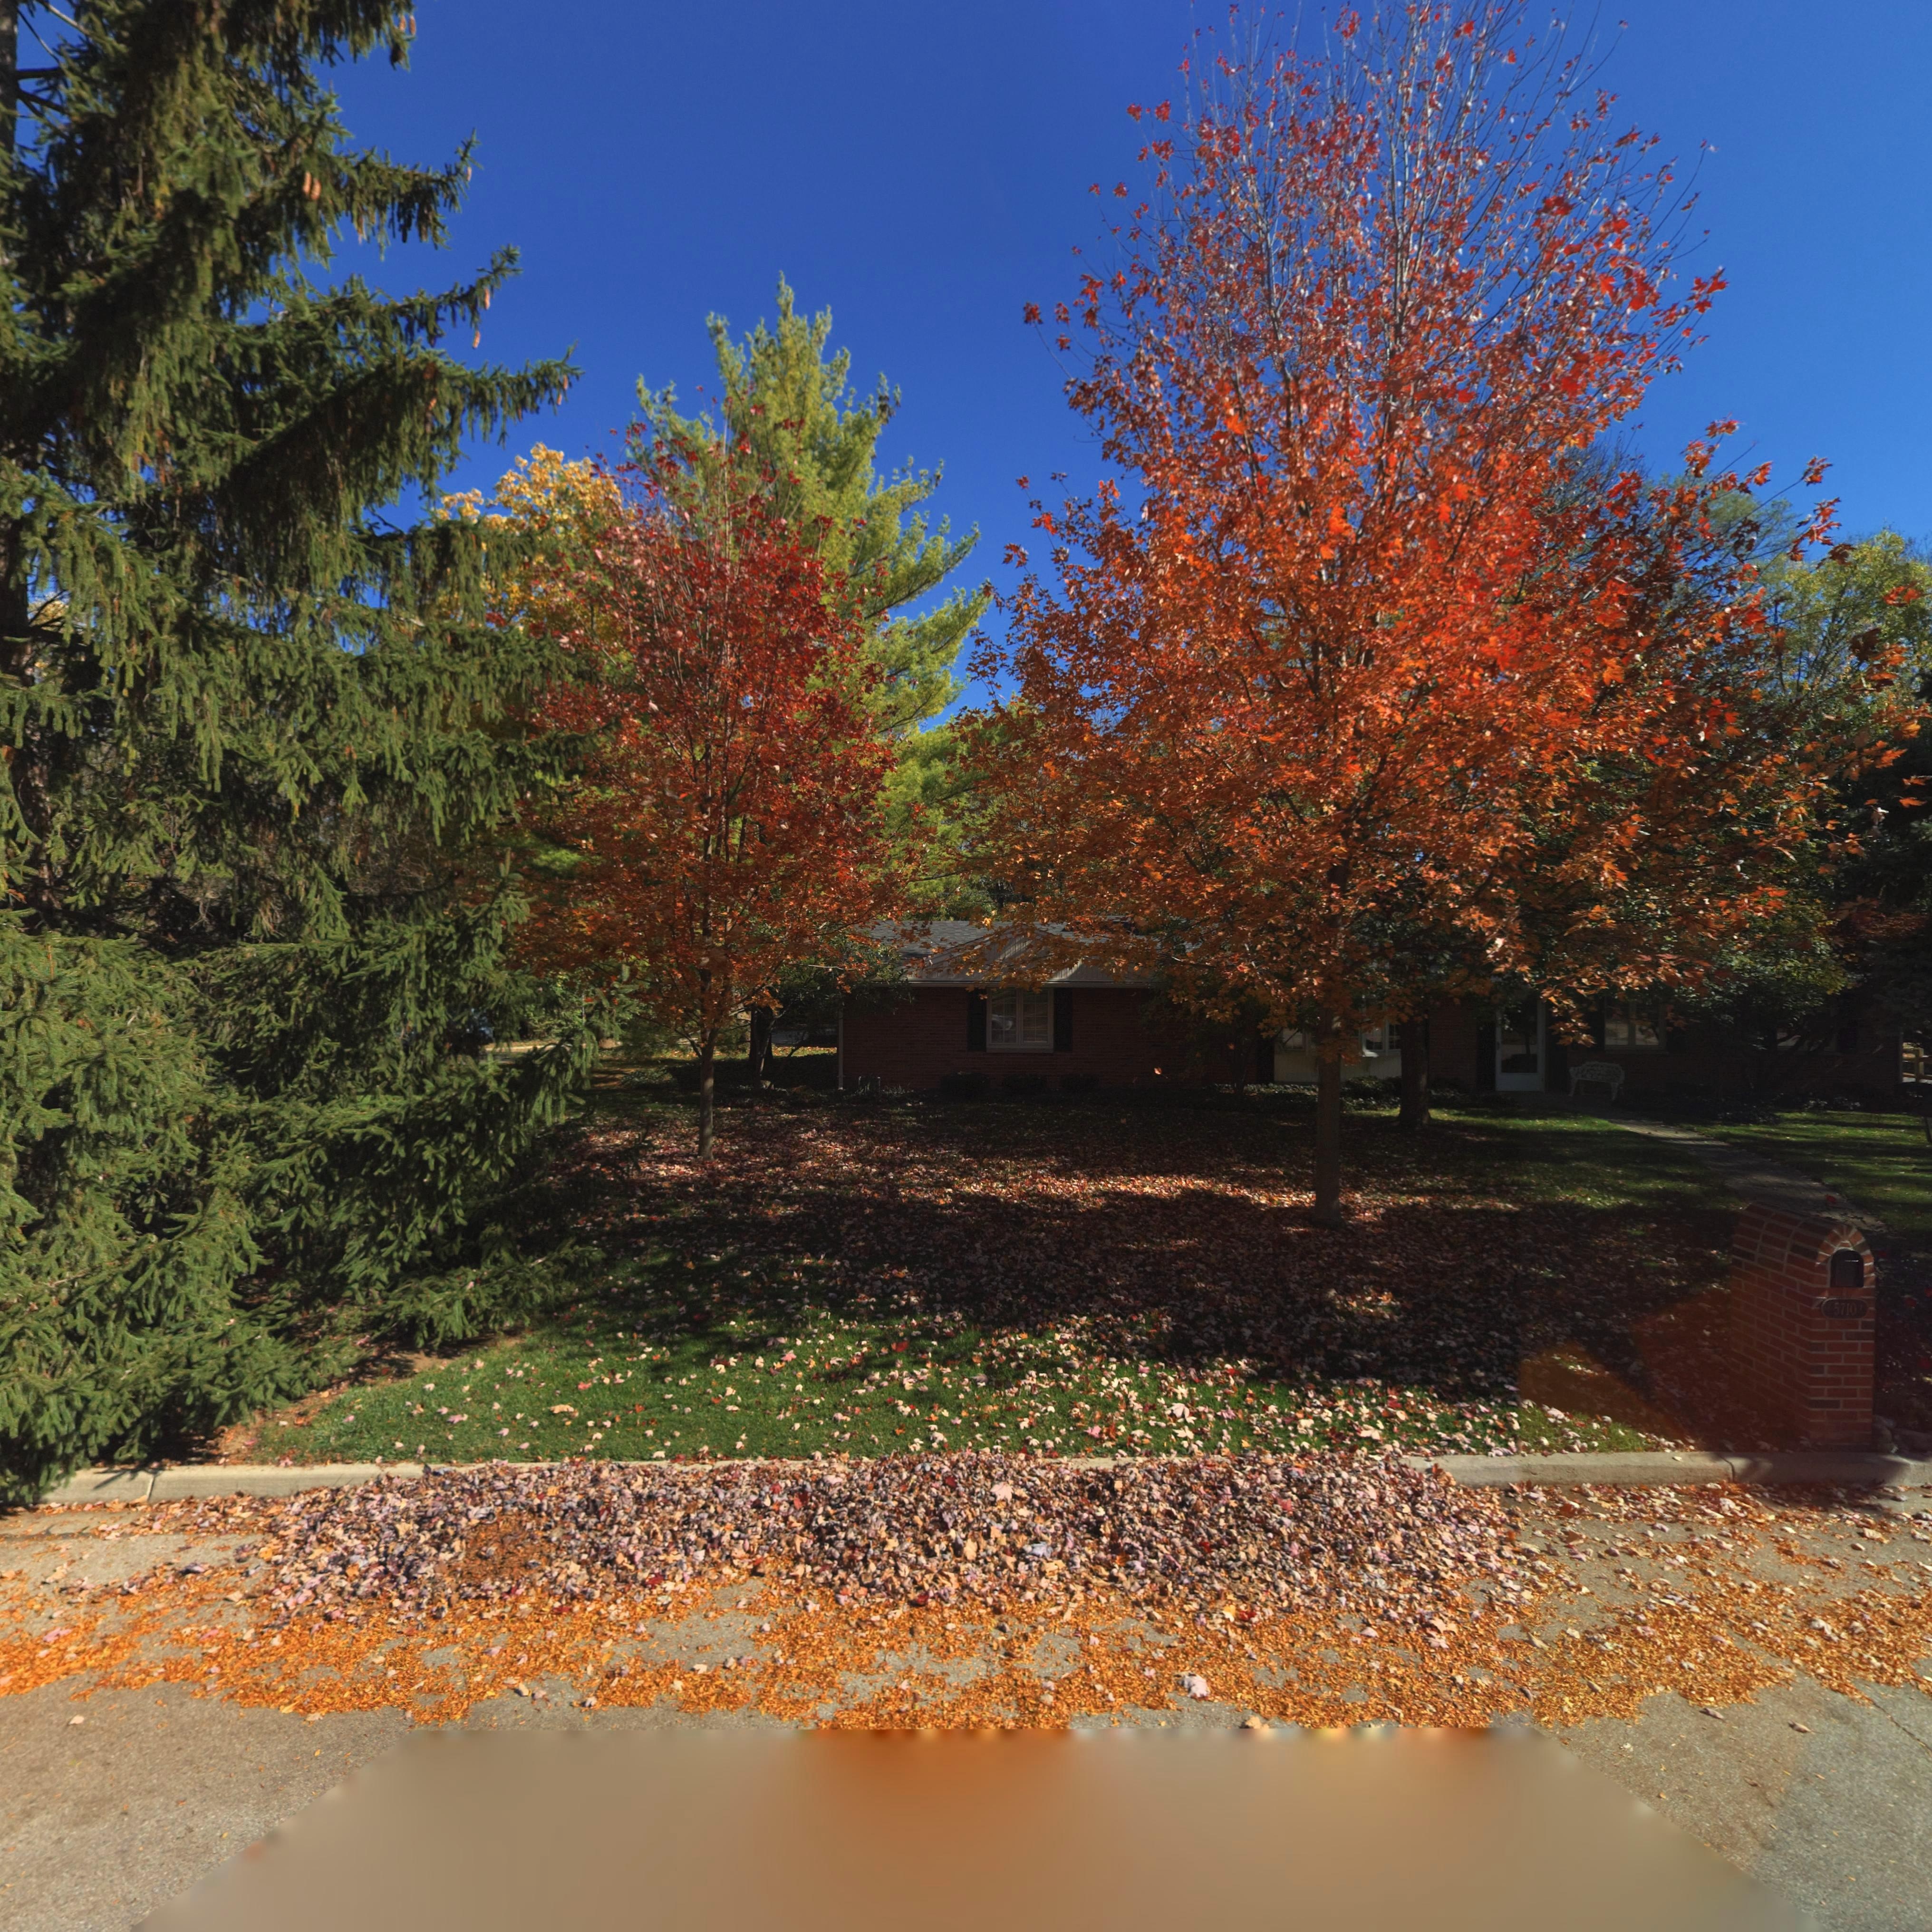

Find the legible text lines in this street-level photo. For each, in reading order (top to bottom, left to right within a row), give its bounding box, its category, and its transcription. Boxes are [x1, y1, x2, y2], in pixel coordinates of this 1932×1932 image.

[1834, 1302, 1858, 1316] StreetNumber: 5710